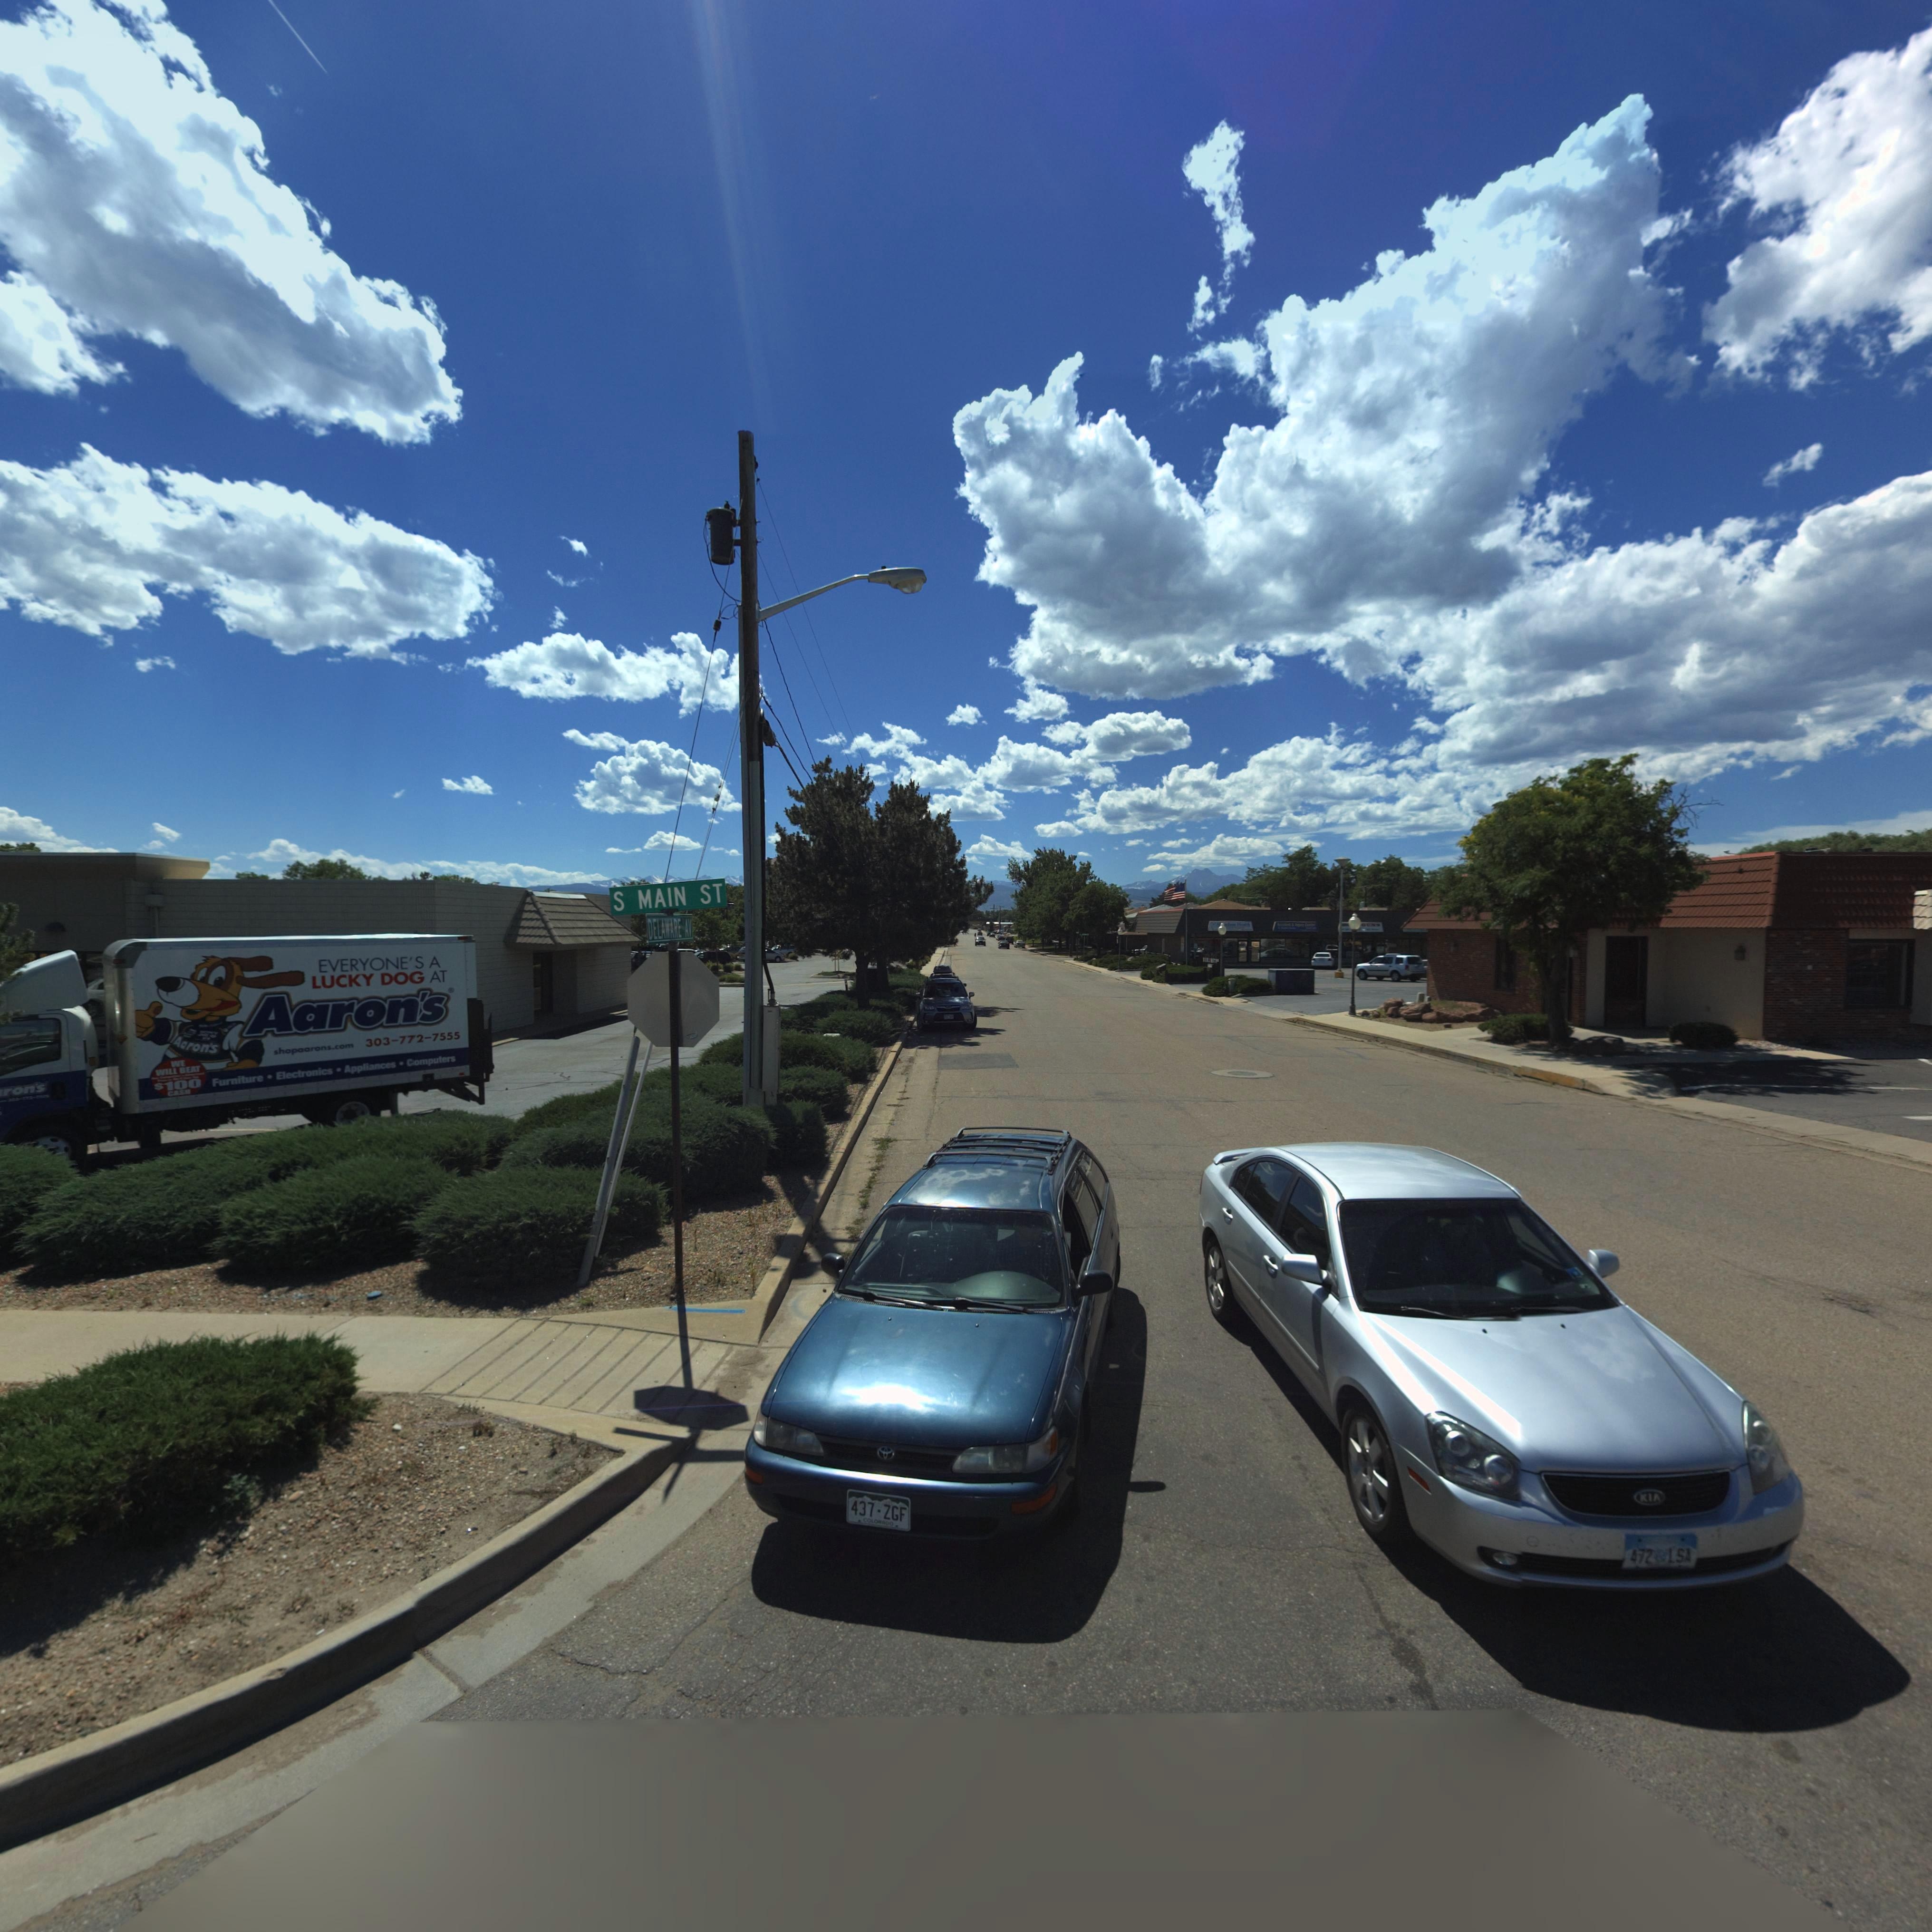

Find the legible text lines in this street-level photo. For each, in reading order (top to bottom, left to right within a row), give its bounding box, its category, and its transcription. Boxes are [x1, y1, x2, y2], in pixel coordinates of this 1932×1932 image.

[612, 881, 723, 913] StreetName: S MAIN ST
[647, 918, 692, 941] StreetName: DELAWARE AV
[312, 970, 447, 989] BusinessName: LUCKY DOG AT
[2, 1083, 46, 1097] None: ron*s